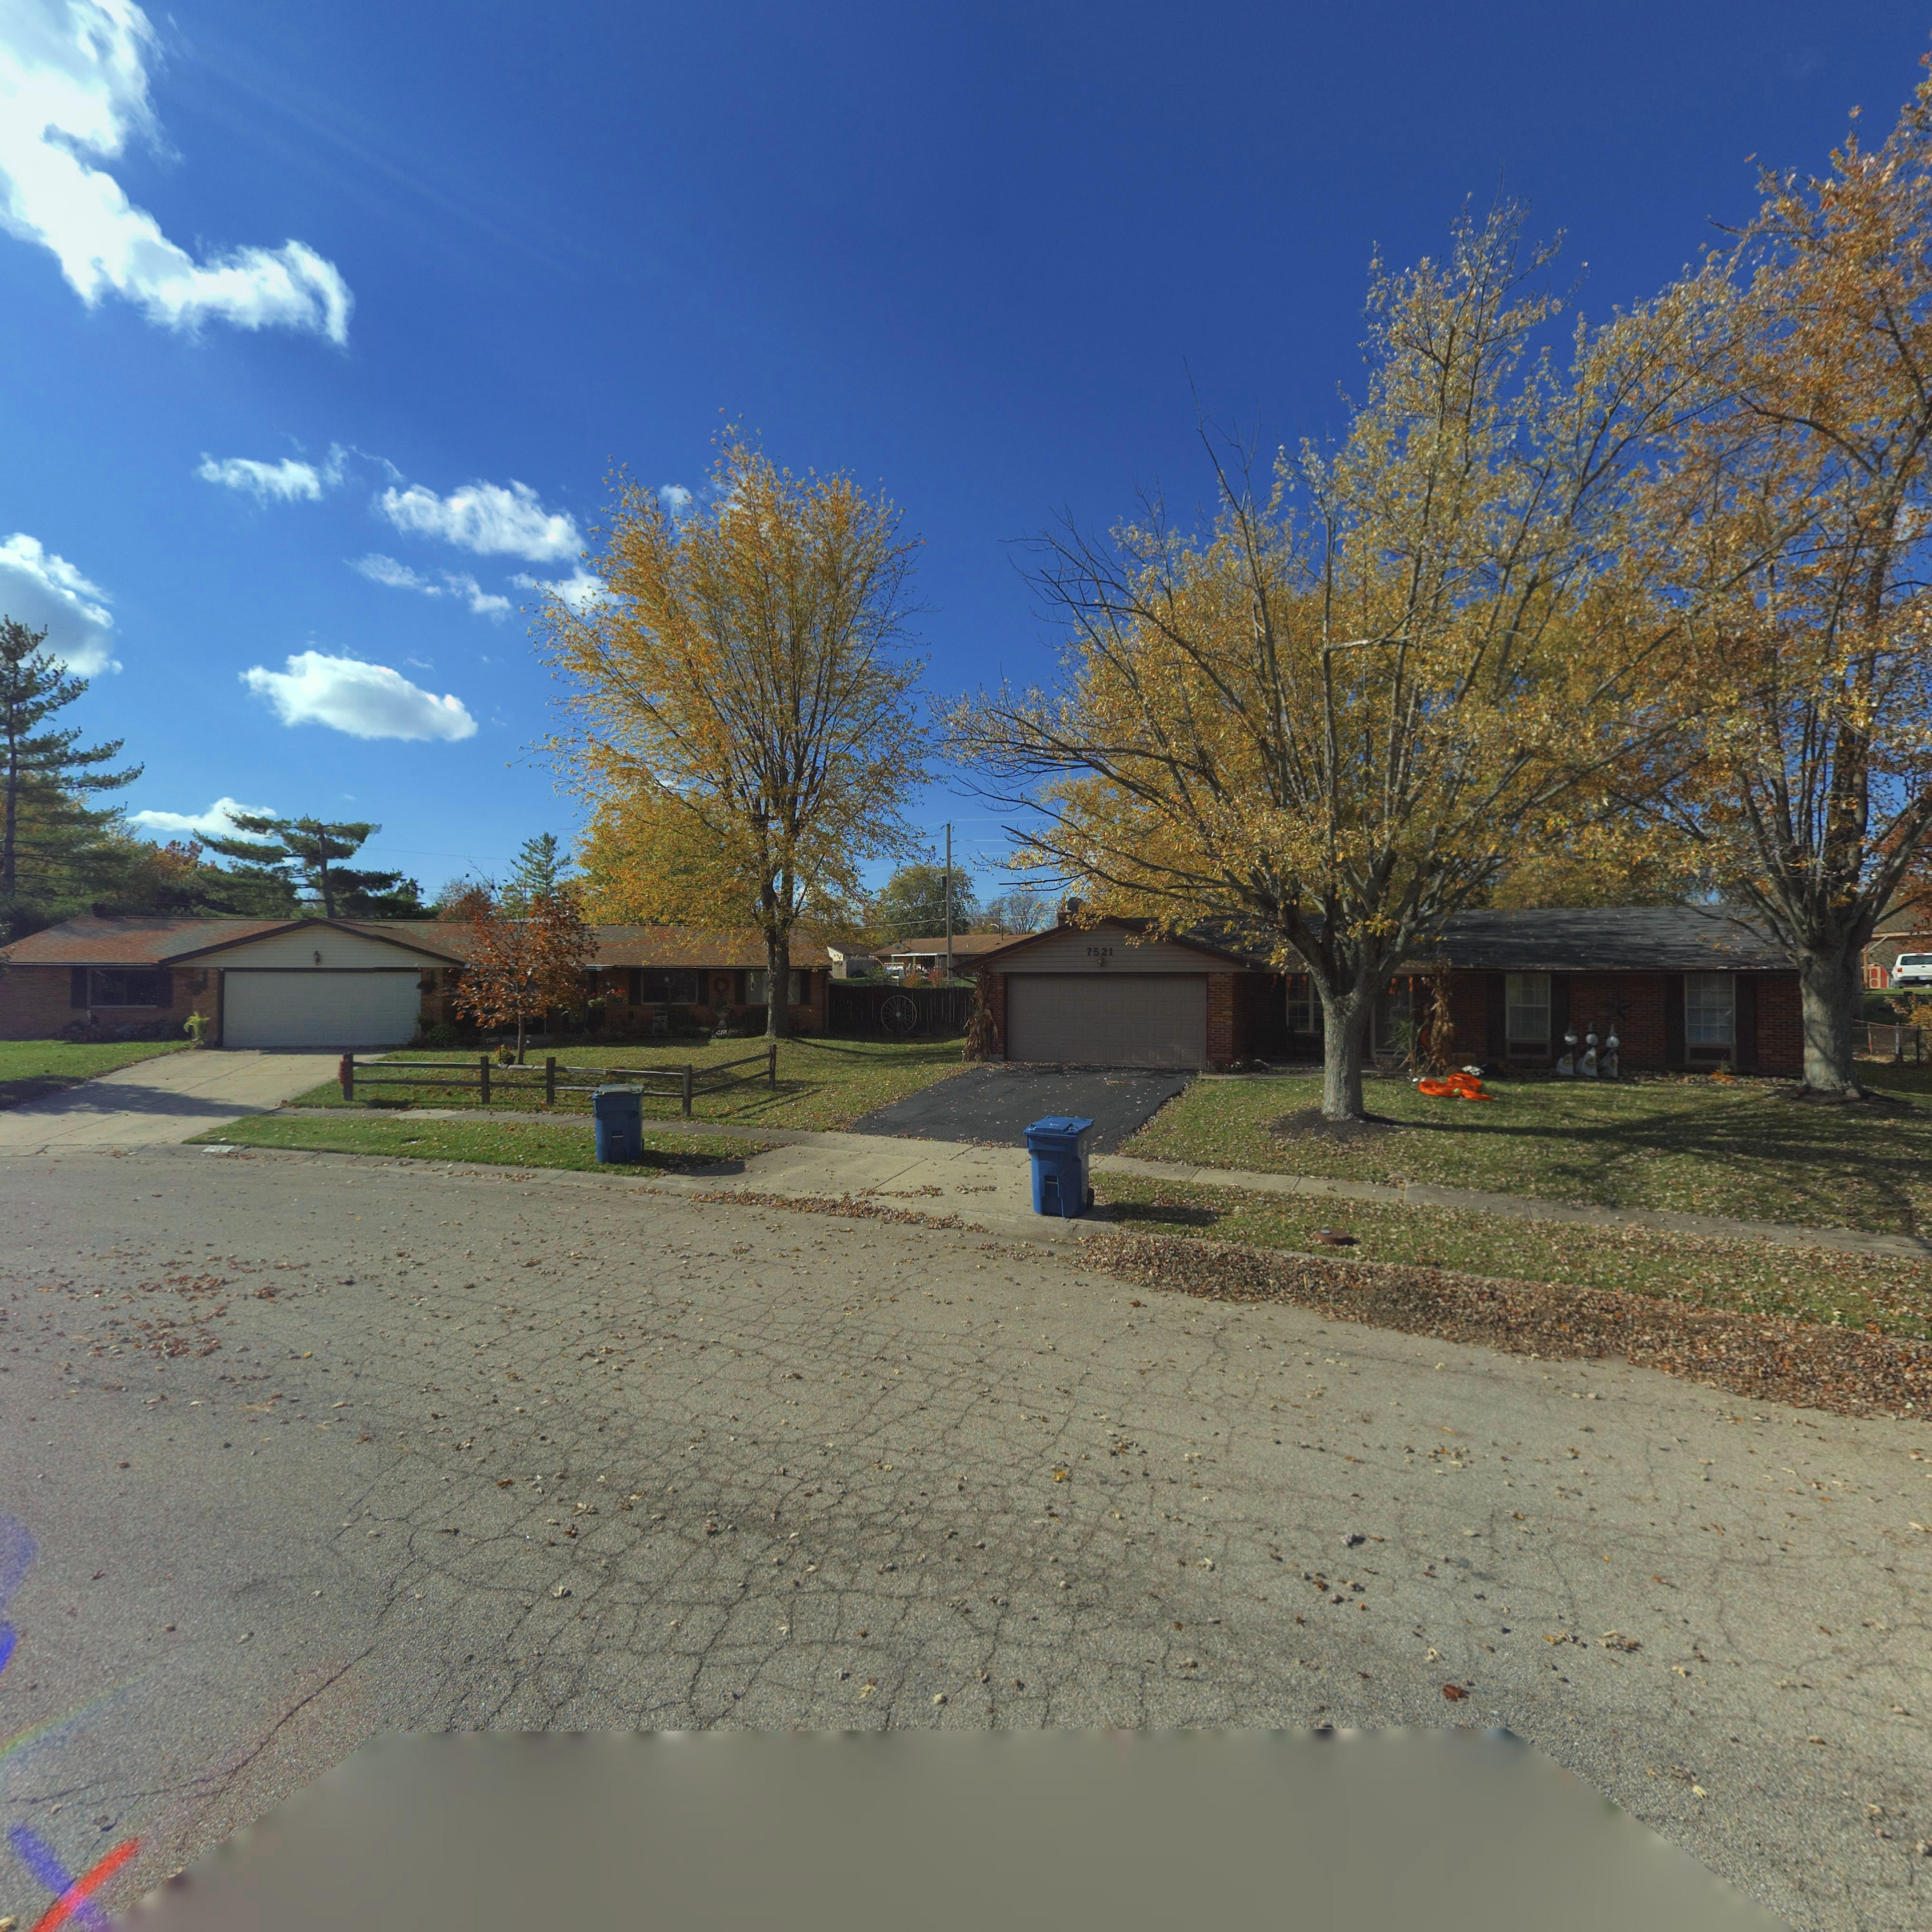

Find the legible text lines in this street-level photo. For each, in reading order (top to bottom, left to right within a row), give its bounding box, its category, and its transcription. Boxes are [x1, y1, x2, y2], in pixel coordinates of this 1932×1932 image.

[1086, 946, 1113, 957] StreetNumber: 7521